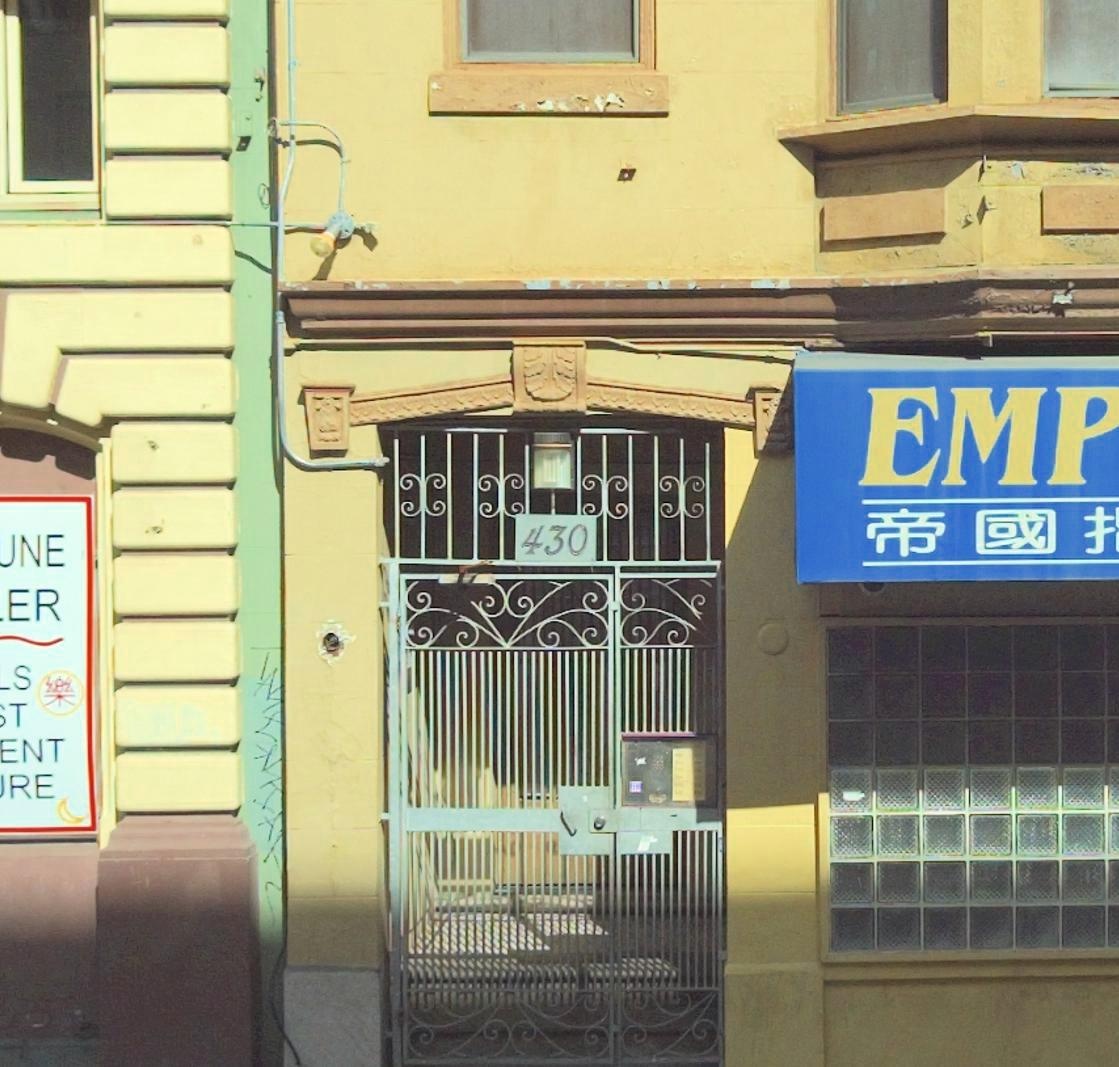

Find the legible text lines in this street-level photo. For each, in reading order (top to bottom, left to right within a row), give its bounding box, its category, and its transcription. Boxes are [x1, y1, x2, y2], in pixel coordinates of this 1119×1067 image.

[852, 382, 1055, 496] BusinessName: EM
[14, 527, 71, 573] None: NE
[517, 520, 592, 560] StreetNumber: 430
[4, 583, 66, 627] None: ER
[9, 661, 37, 695] None: S
[5, 699, 31, 733] None: T
[0, 733, 66, 768] None: ENT
[5, 767, 61, 802] None: RE